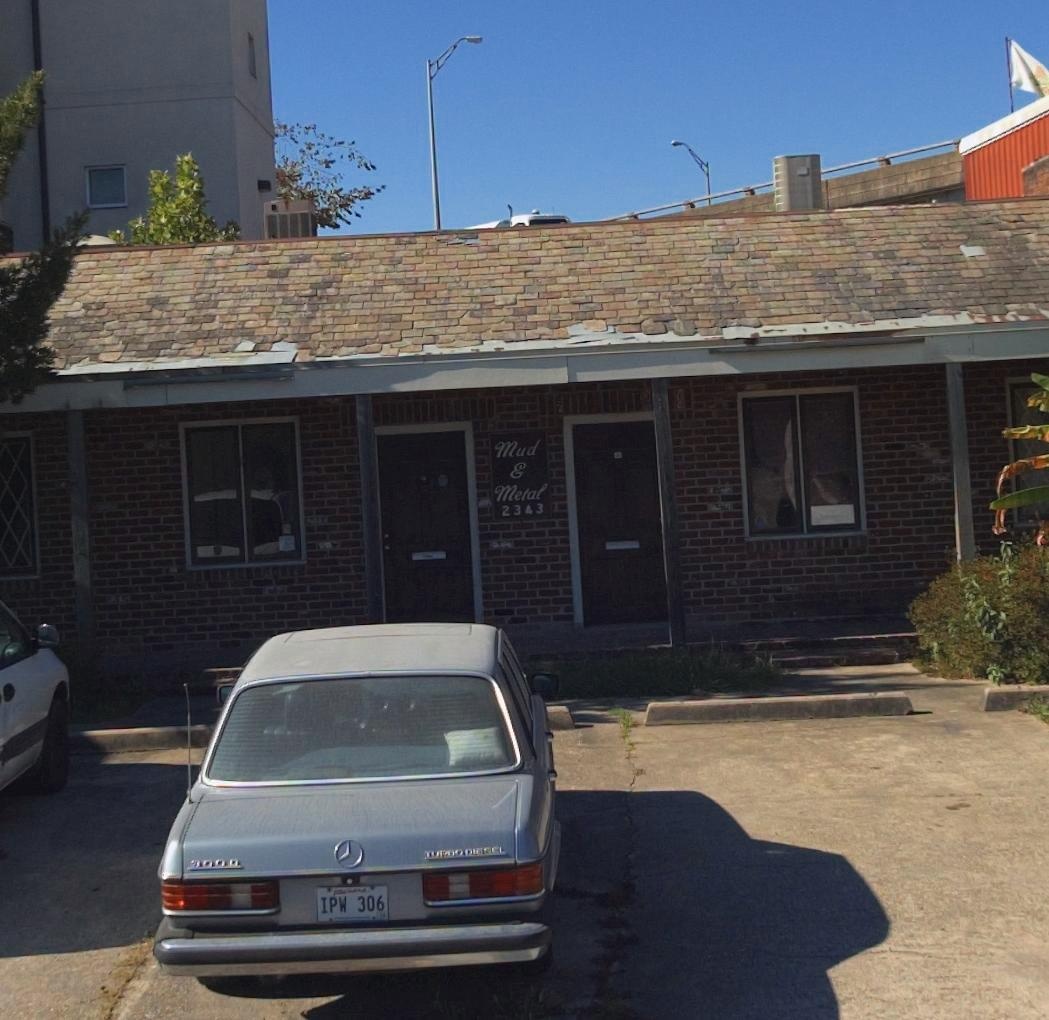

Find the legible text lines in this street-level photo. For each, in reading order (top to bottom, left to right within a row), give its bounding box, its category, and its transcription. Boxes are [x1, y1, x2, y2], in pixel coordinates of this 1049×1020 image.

[493, 436, 544, 460] BusinessName: Mud
[493, 480, 552, 504] BusinessName: Metal
[499, 502, 547, 519] StreetNumber: 2343
[189, 857, 242, 870] None: *00 *
[318, 892, 387, 916] None: IPW 306